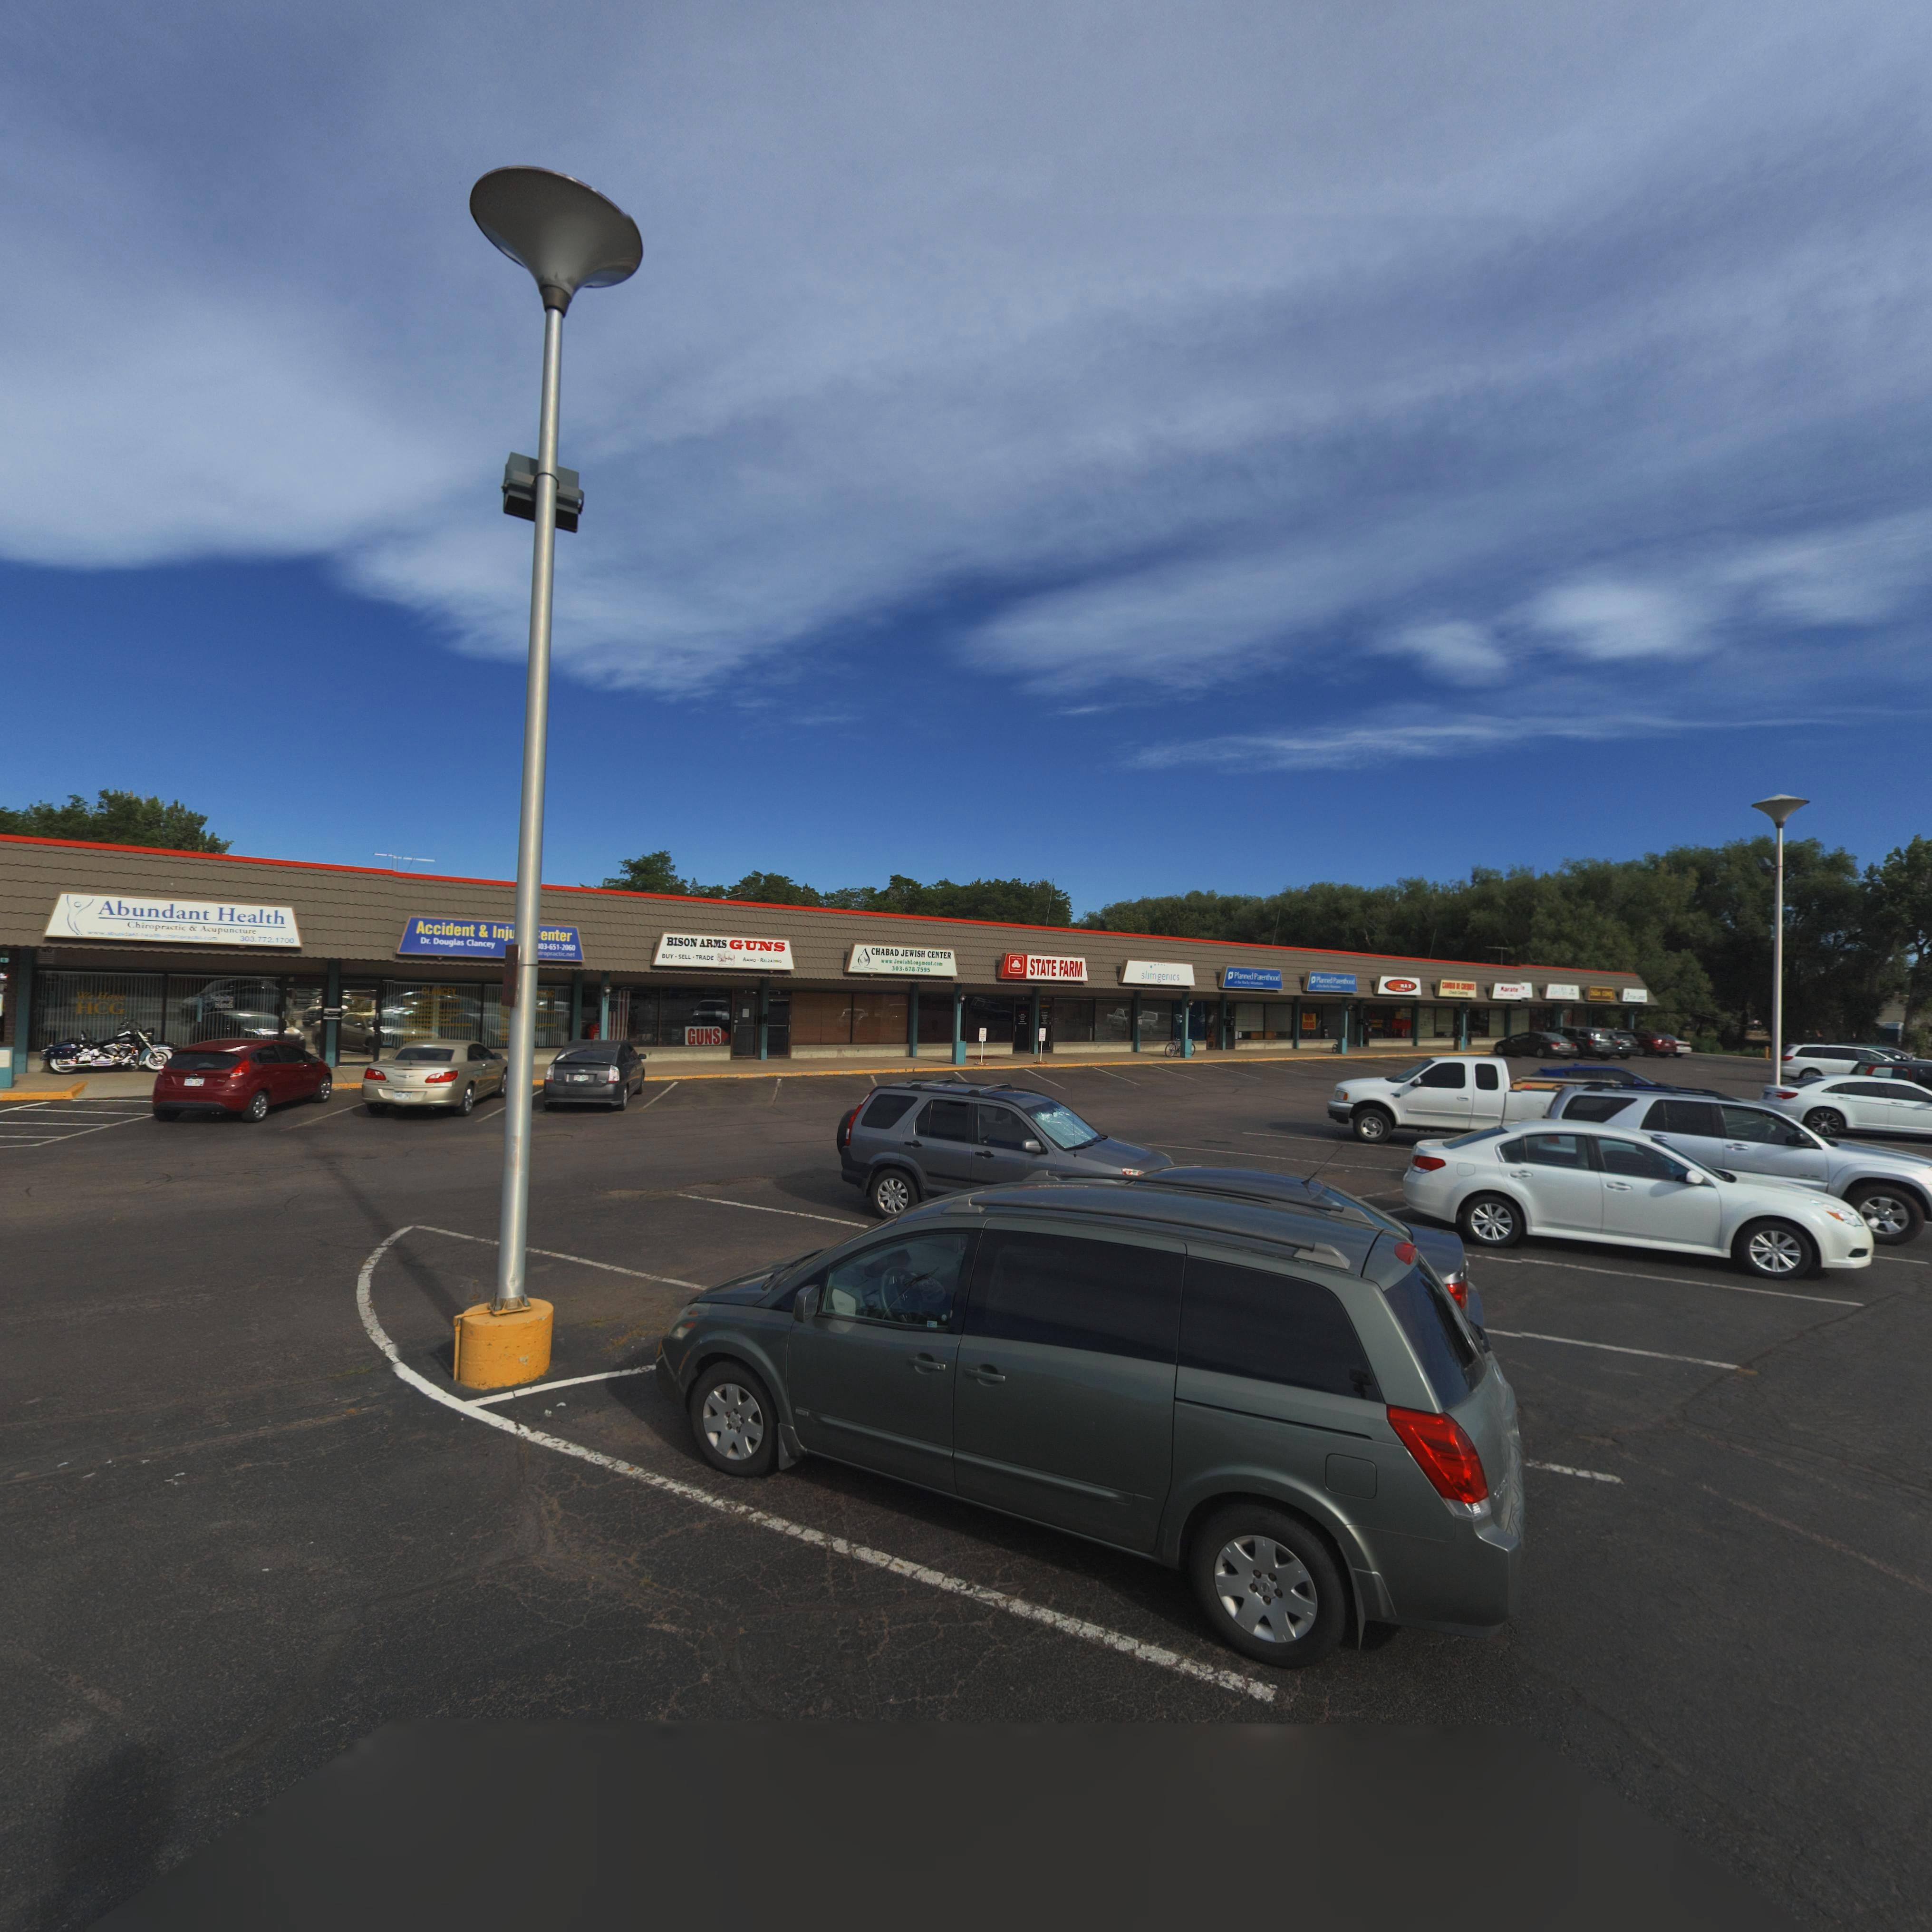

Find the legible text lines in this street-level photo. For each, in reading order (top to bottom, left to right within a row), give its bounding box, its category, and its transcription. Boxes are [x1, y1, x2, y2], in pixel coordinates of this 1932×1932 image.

[96, 899, 285, 925] BusinessName: Abundant Health
[415, 920, 573, 943] BusinessName: Accident & Inj***** * enter
[666, 936, 786, 952] BusinessName: BISON ARMS GUNS
[870, 947, 951, 959] BusinessName: CHABAD JEWISH CENTER
[1029, 957, 1082, 977] BusinessName: STATE FARM
[1140, 970, 1180, 983] BusinessName: slimgenics
[1234, 971, 1280, 981] BusinessName: Planned Parenthood
[1315, 976, 1355, 985] BusinessName: P*****d Pa*****ood